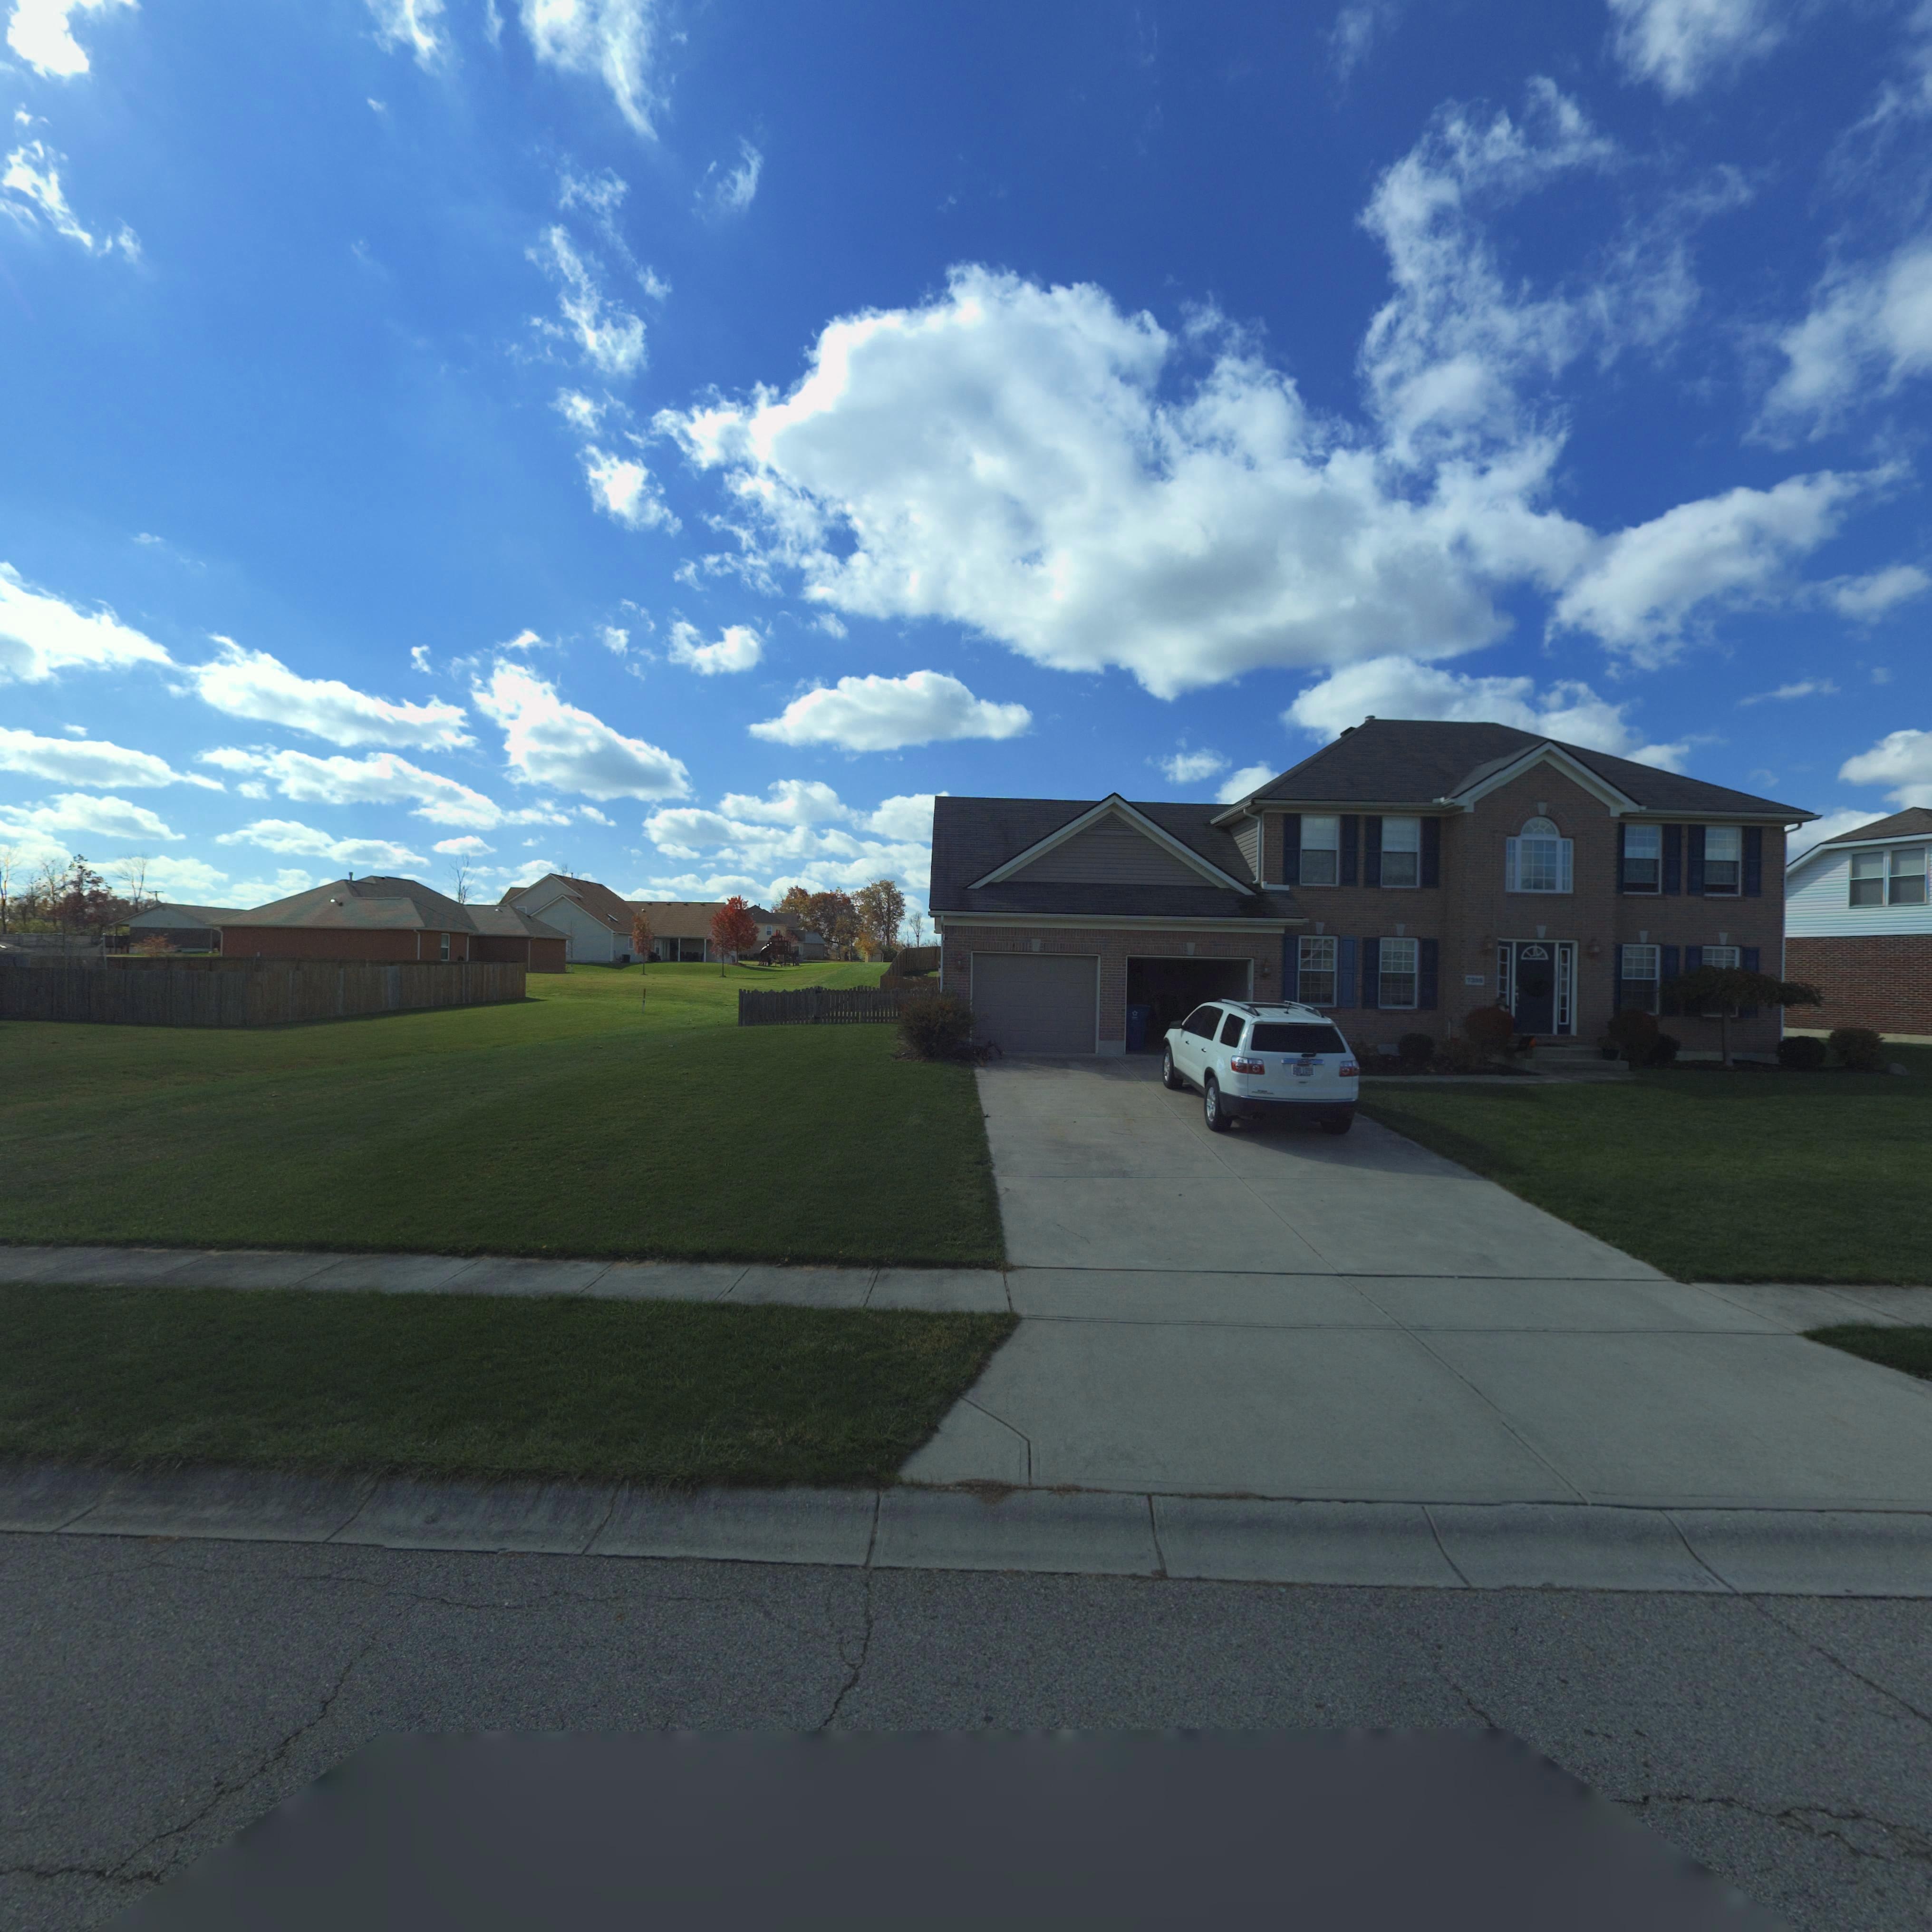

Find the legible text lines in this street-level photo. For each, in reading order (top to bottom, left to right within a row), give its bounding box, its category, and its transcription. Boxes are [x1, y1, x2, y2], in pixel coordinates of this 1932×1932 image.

[1466, 976, 1483, 984] StreetNumber: 73*8